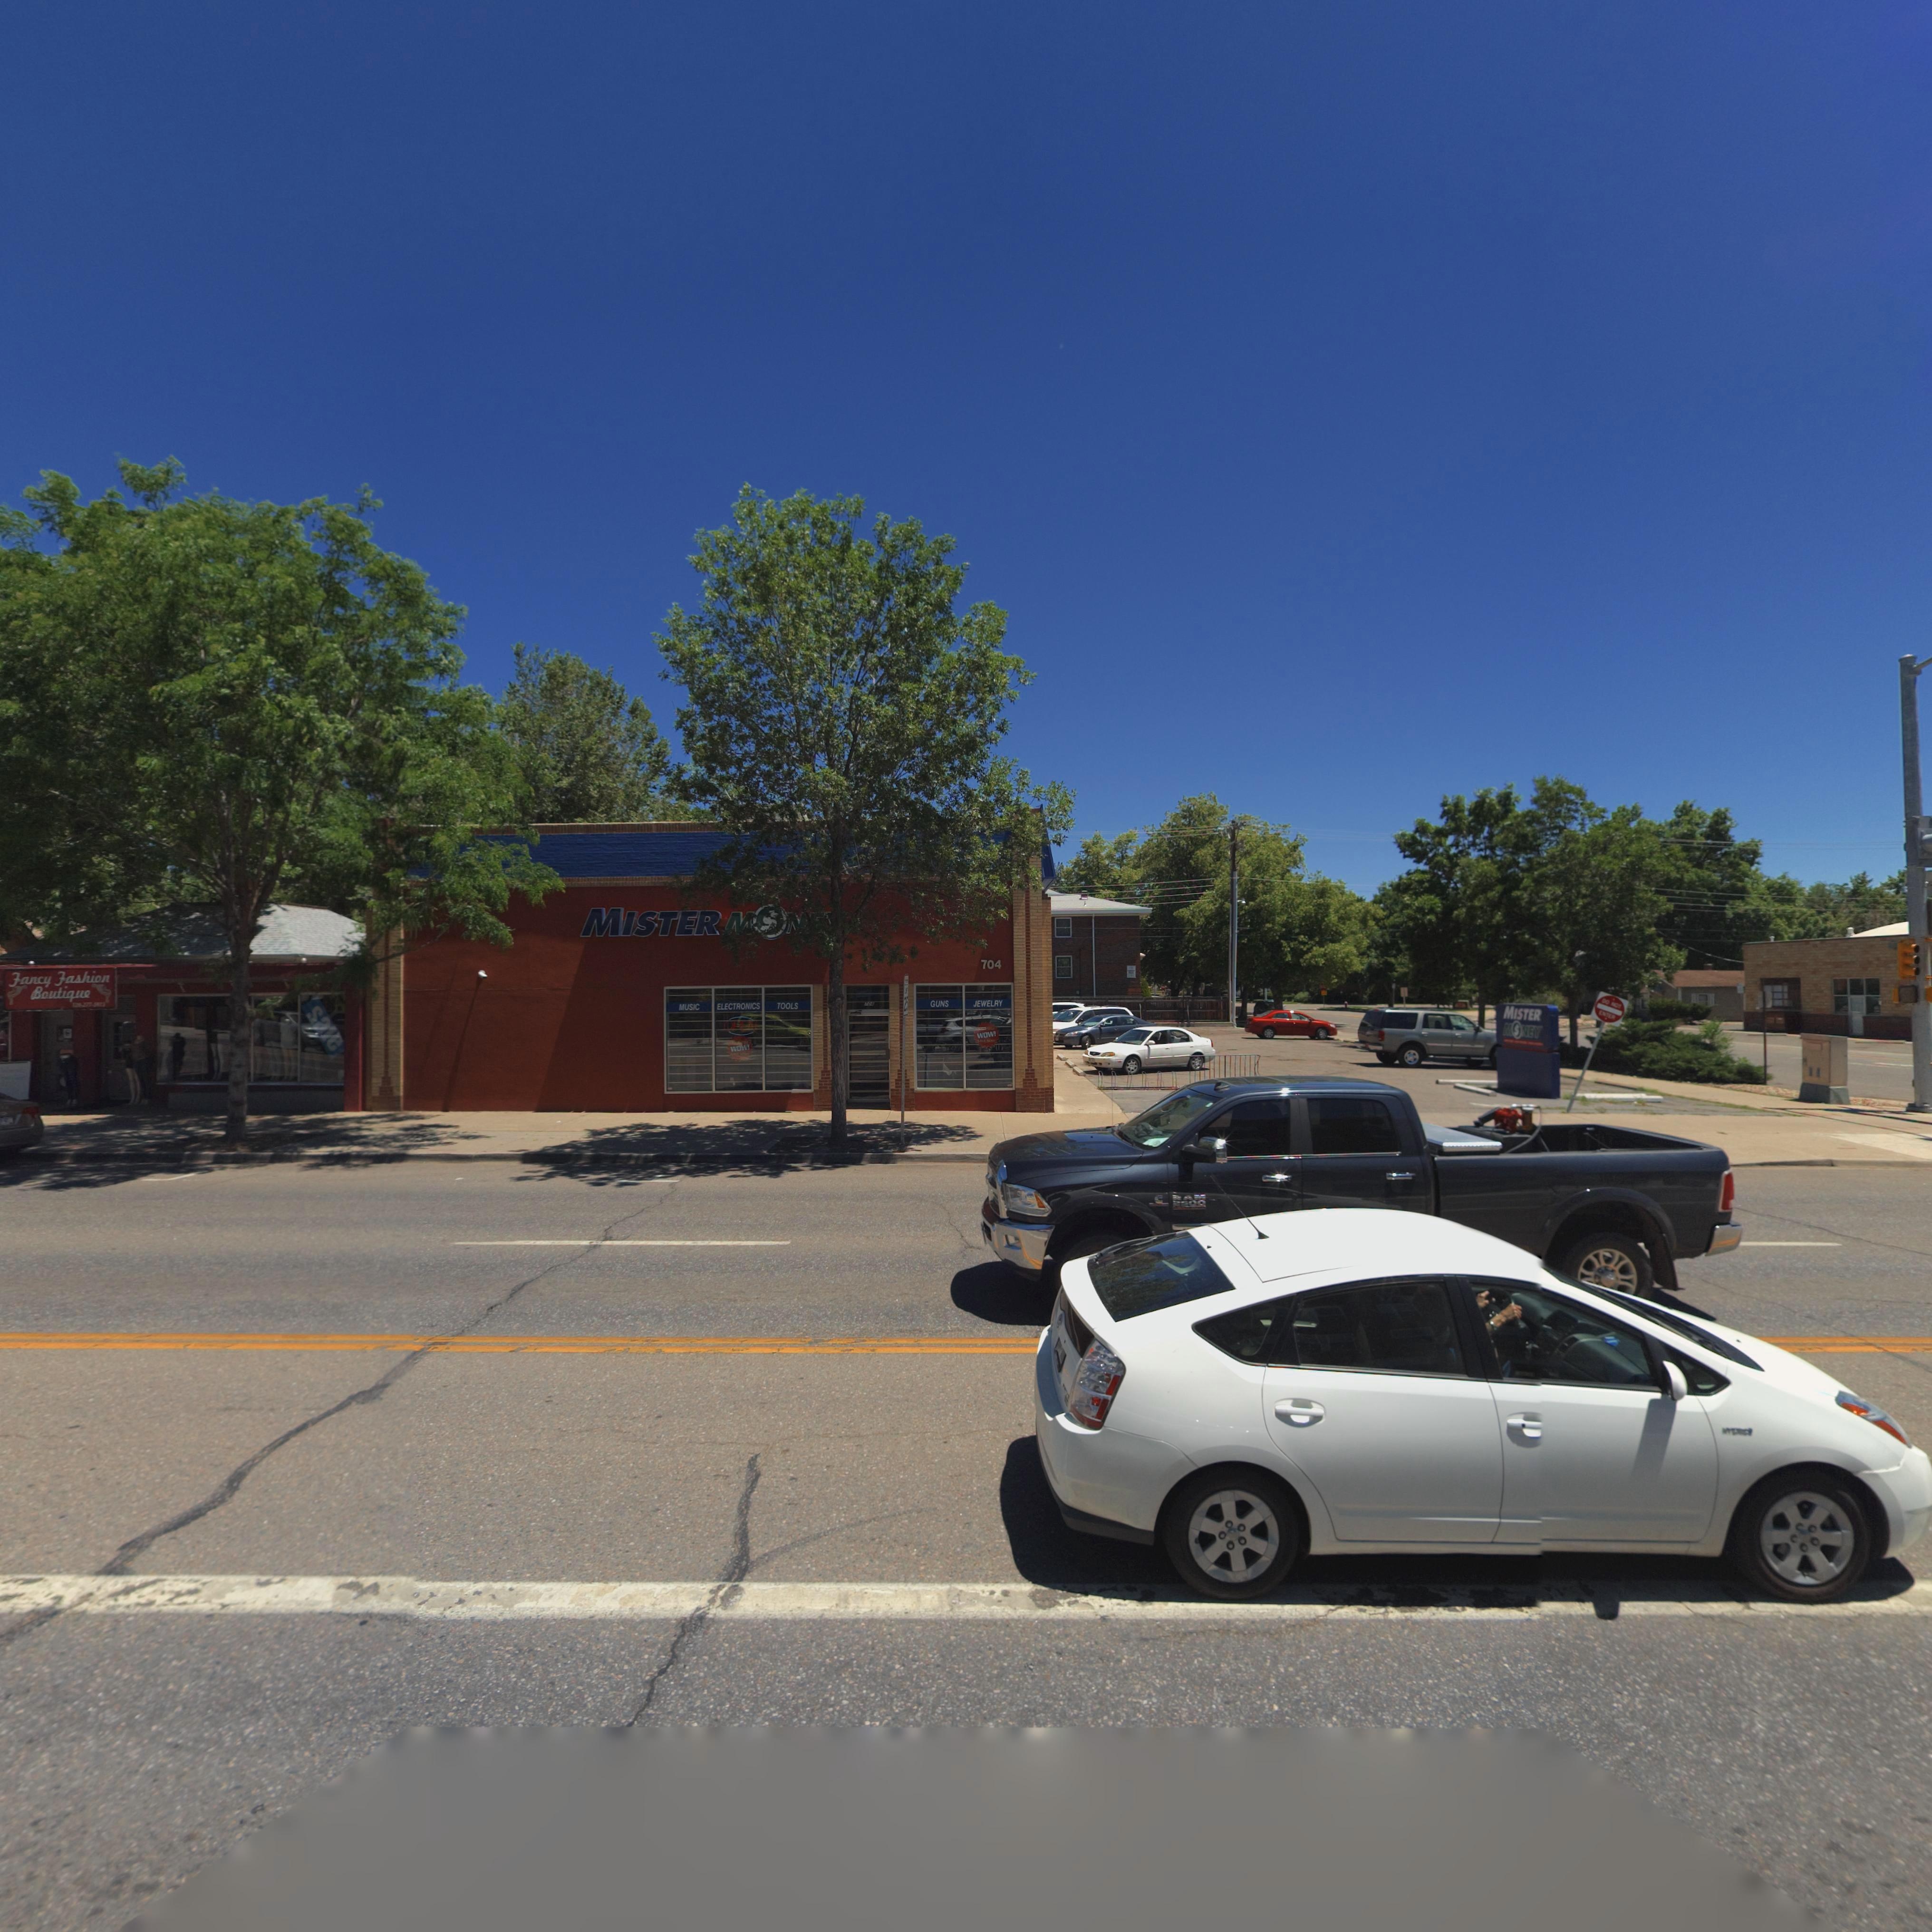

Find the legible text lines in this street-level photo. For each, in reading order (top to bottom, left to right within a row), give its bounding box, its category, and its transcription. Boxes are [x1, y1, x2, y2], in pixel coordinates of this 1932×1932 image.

[579, 903, 824, 940] BusinessName: MISTER M*NE
[981, 959, 1001, 969] StreetNumber: 704
[8, 970, 110, 988] BusinessName: Fancy Fashion
[29, 985, 91, 1002] BusinessName: Boutique
[865, 1002, 874, 1006] StreetNumber: 704
[1503, 1005, 1542, 1021] BusinessName: MISTER
[1502, 1020, 1544, 1039] BusinessName: M*NEY